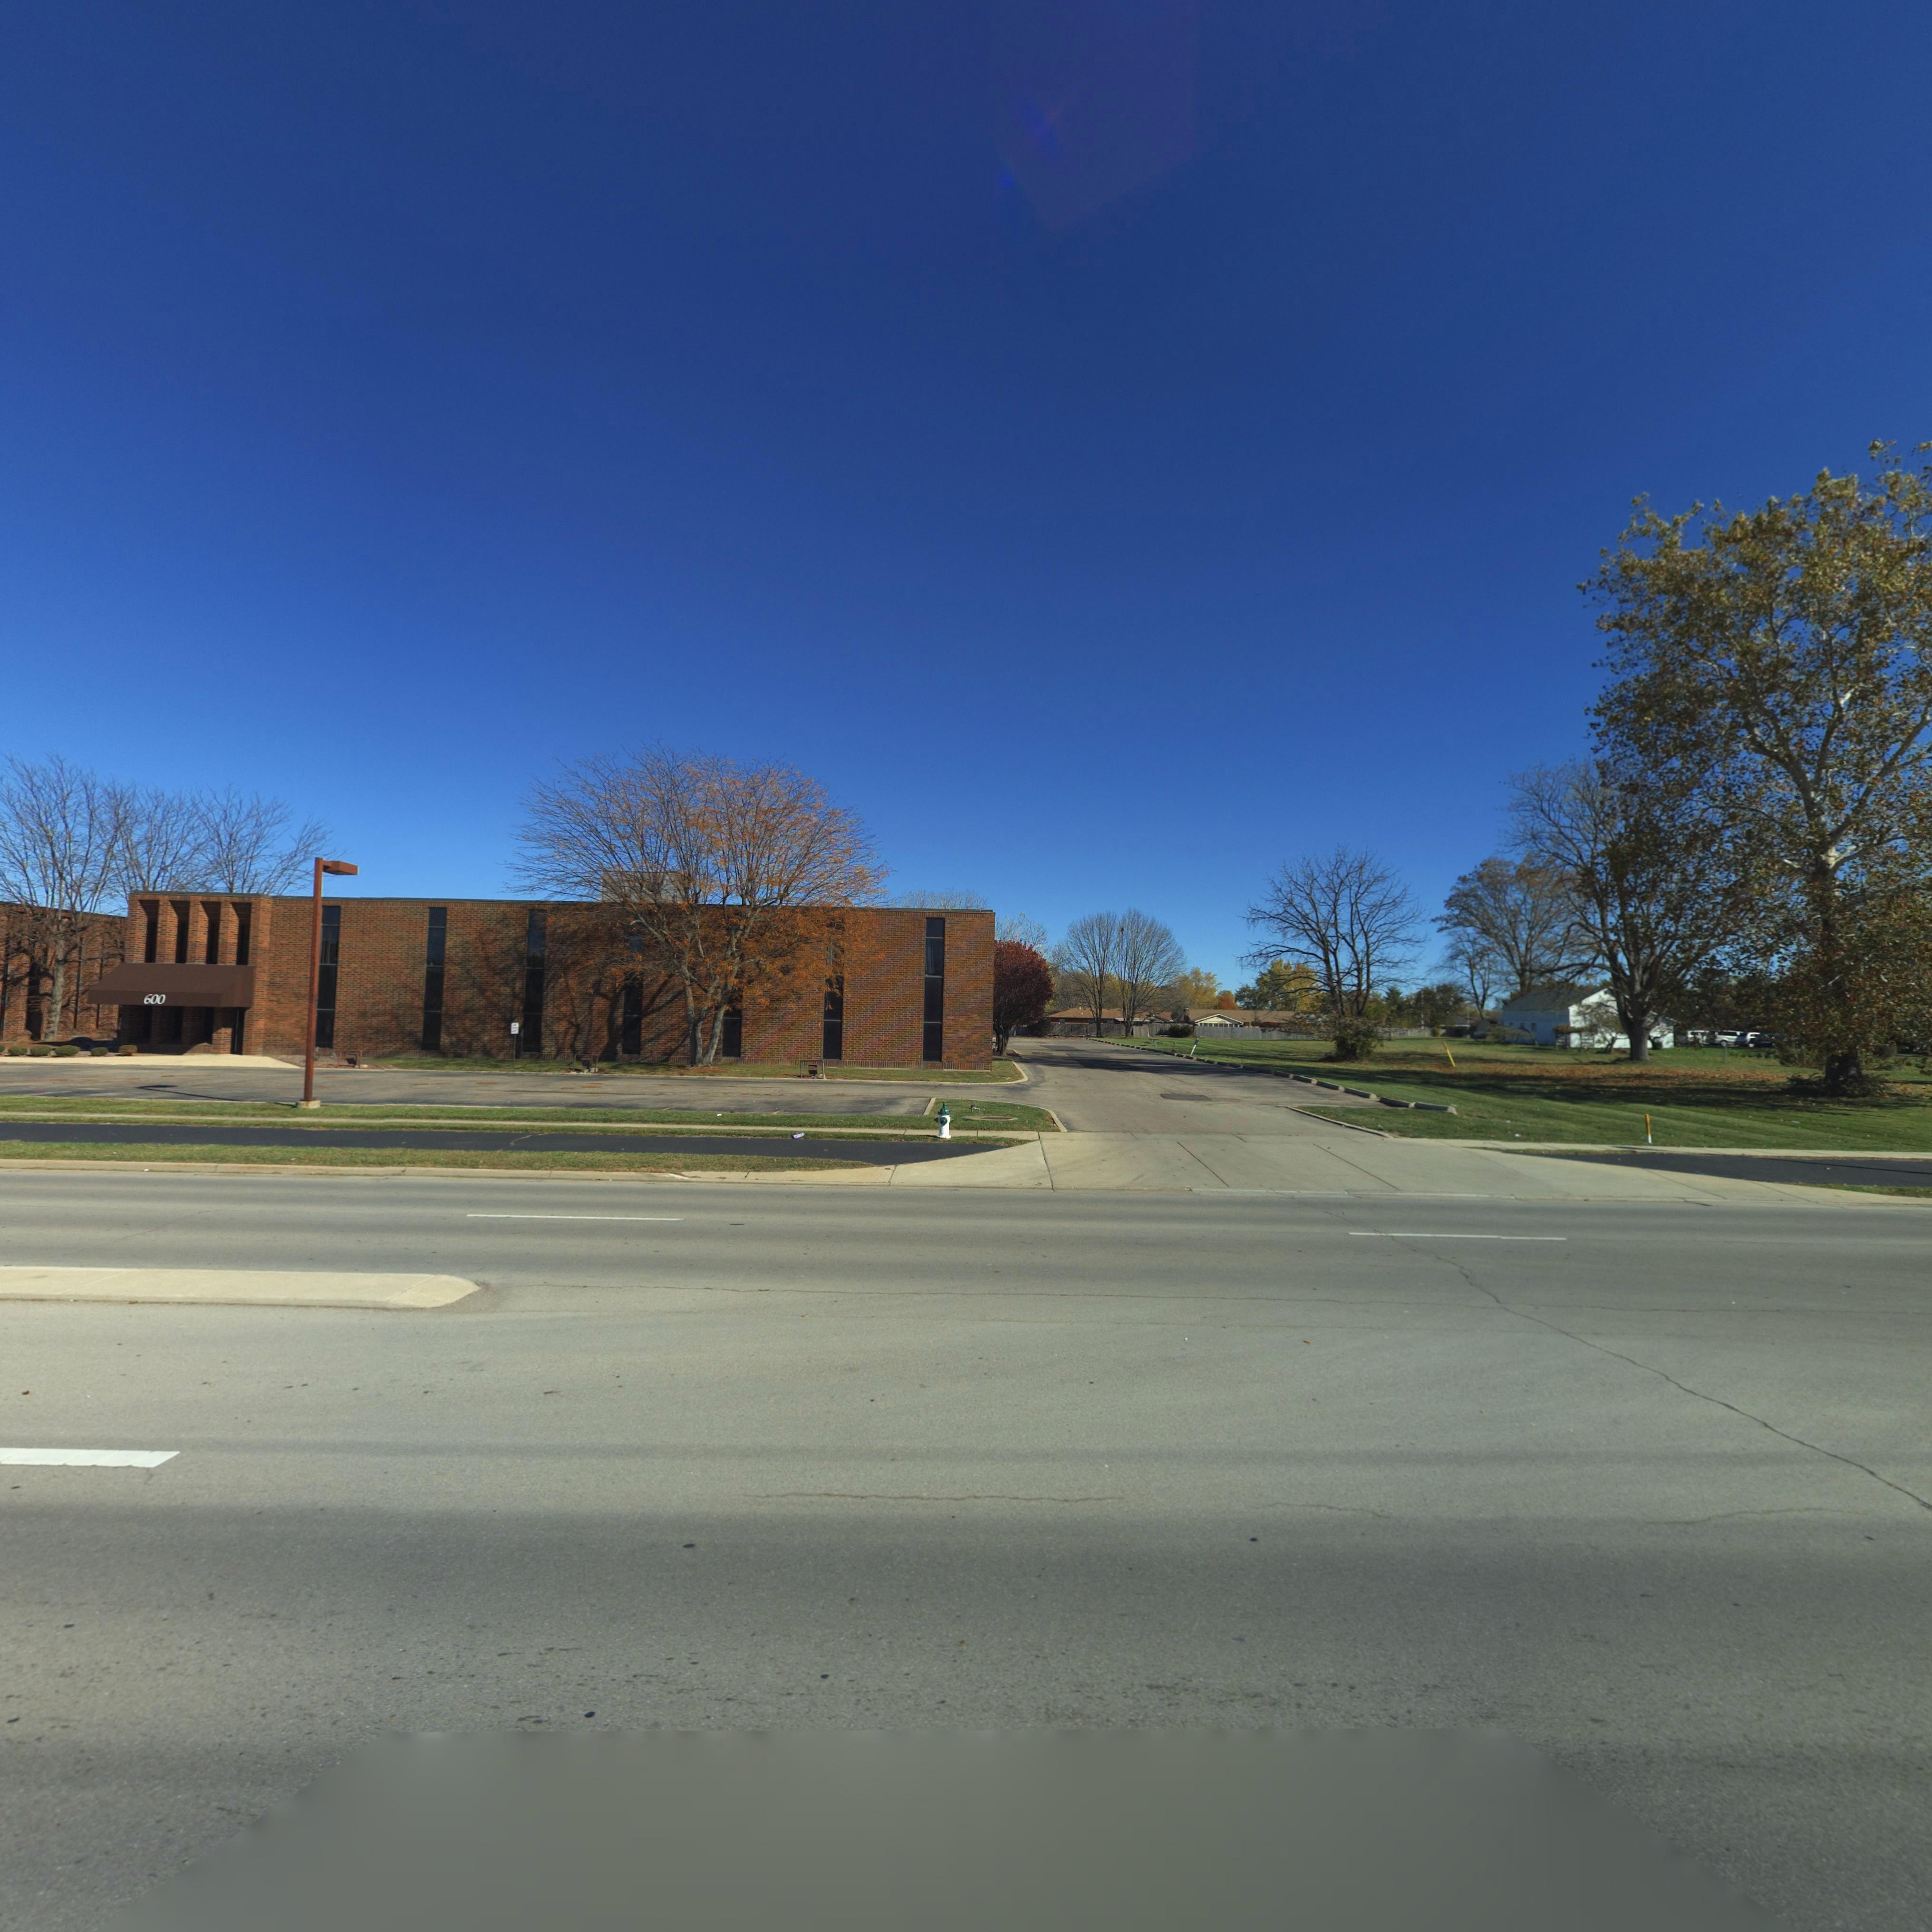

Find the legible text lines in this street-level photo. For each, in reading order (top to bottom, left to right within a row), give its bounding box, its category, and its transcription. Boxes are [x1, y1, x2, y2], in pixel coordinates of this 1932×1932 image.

[143, 993, 167, 1005] StreetNumber: 600